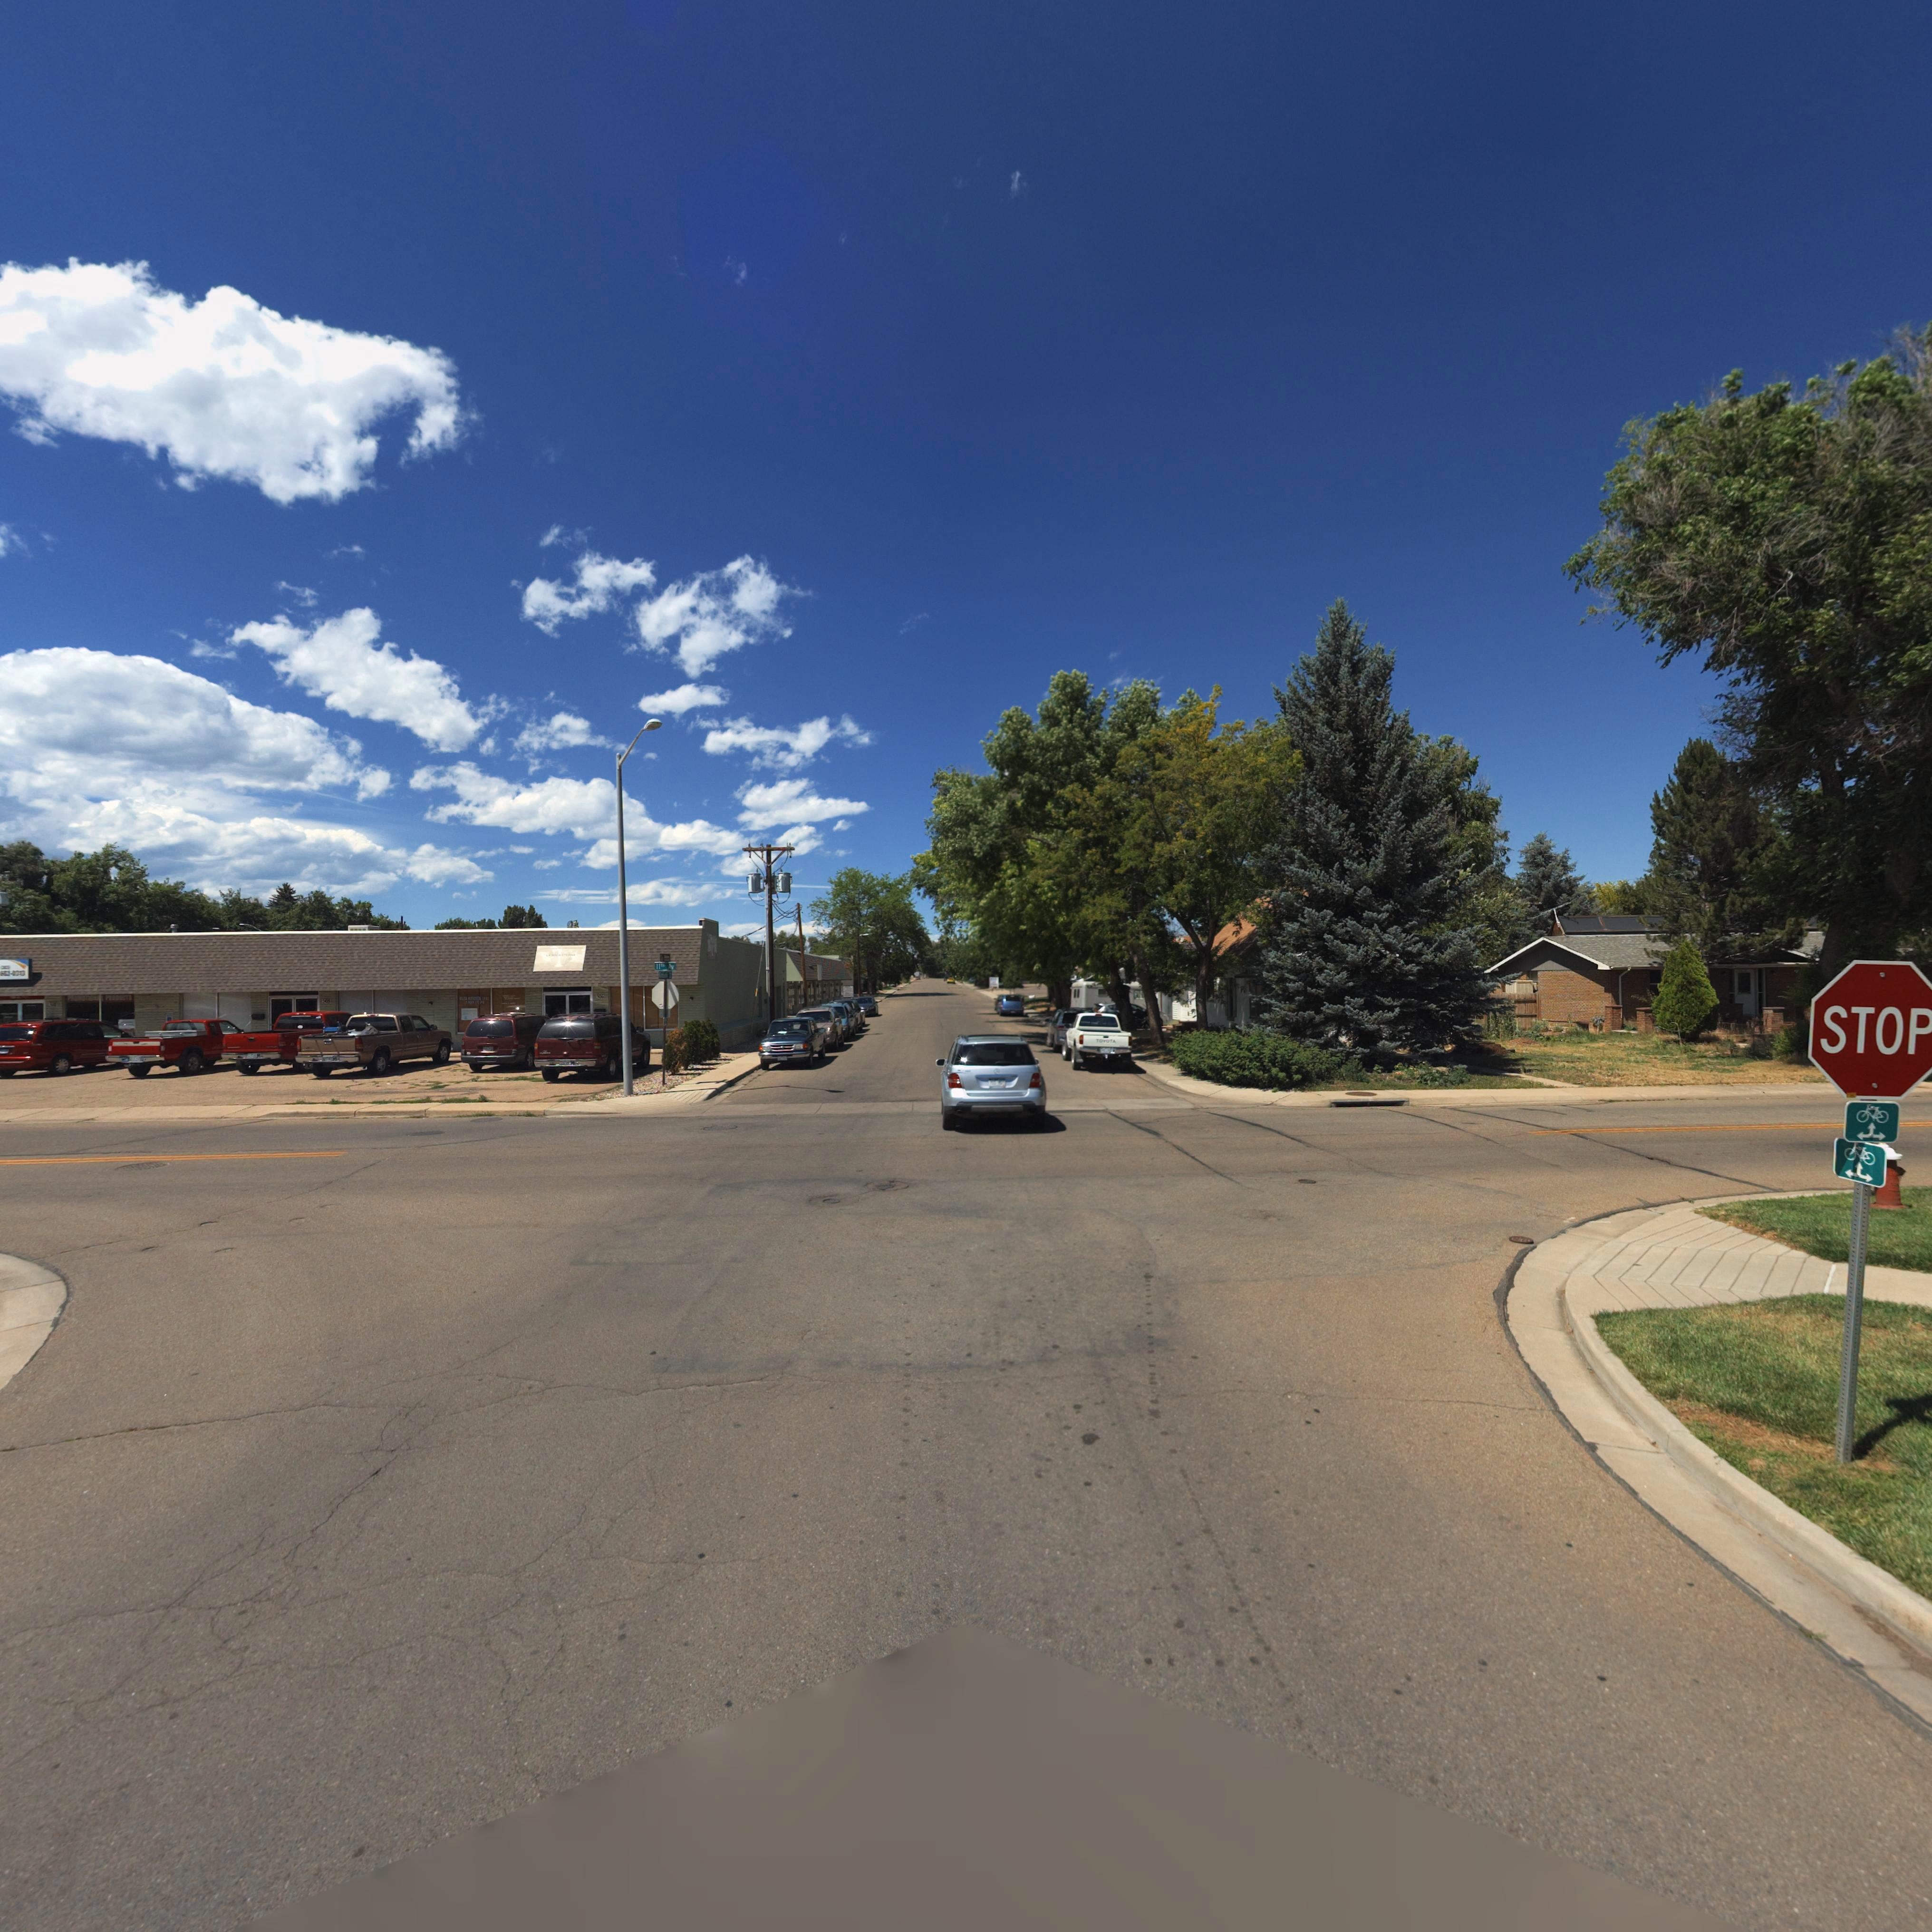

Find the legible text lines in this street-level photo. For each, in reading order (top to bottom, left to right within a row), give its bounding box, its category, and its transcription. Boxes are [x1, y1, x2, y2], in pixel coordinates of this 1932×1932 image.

[656, 963, 675, 969] StreetName: 11** Av
[658, 972, 671, 978] None: K**** S*
[596, 994, 604, 999] StreetNumber: 506
[322, 998, 330, 1003] StreetNumber: 5**